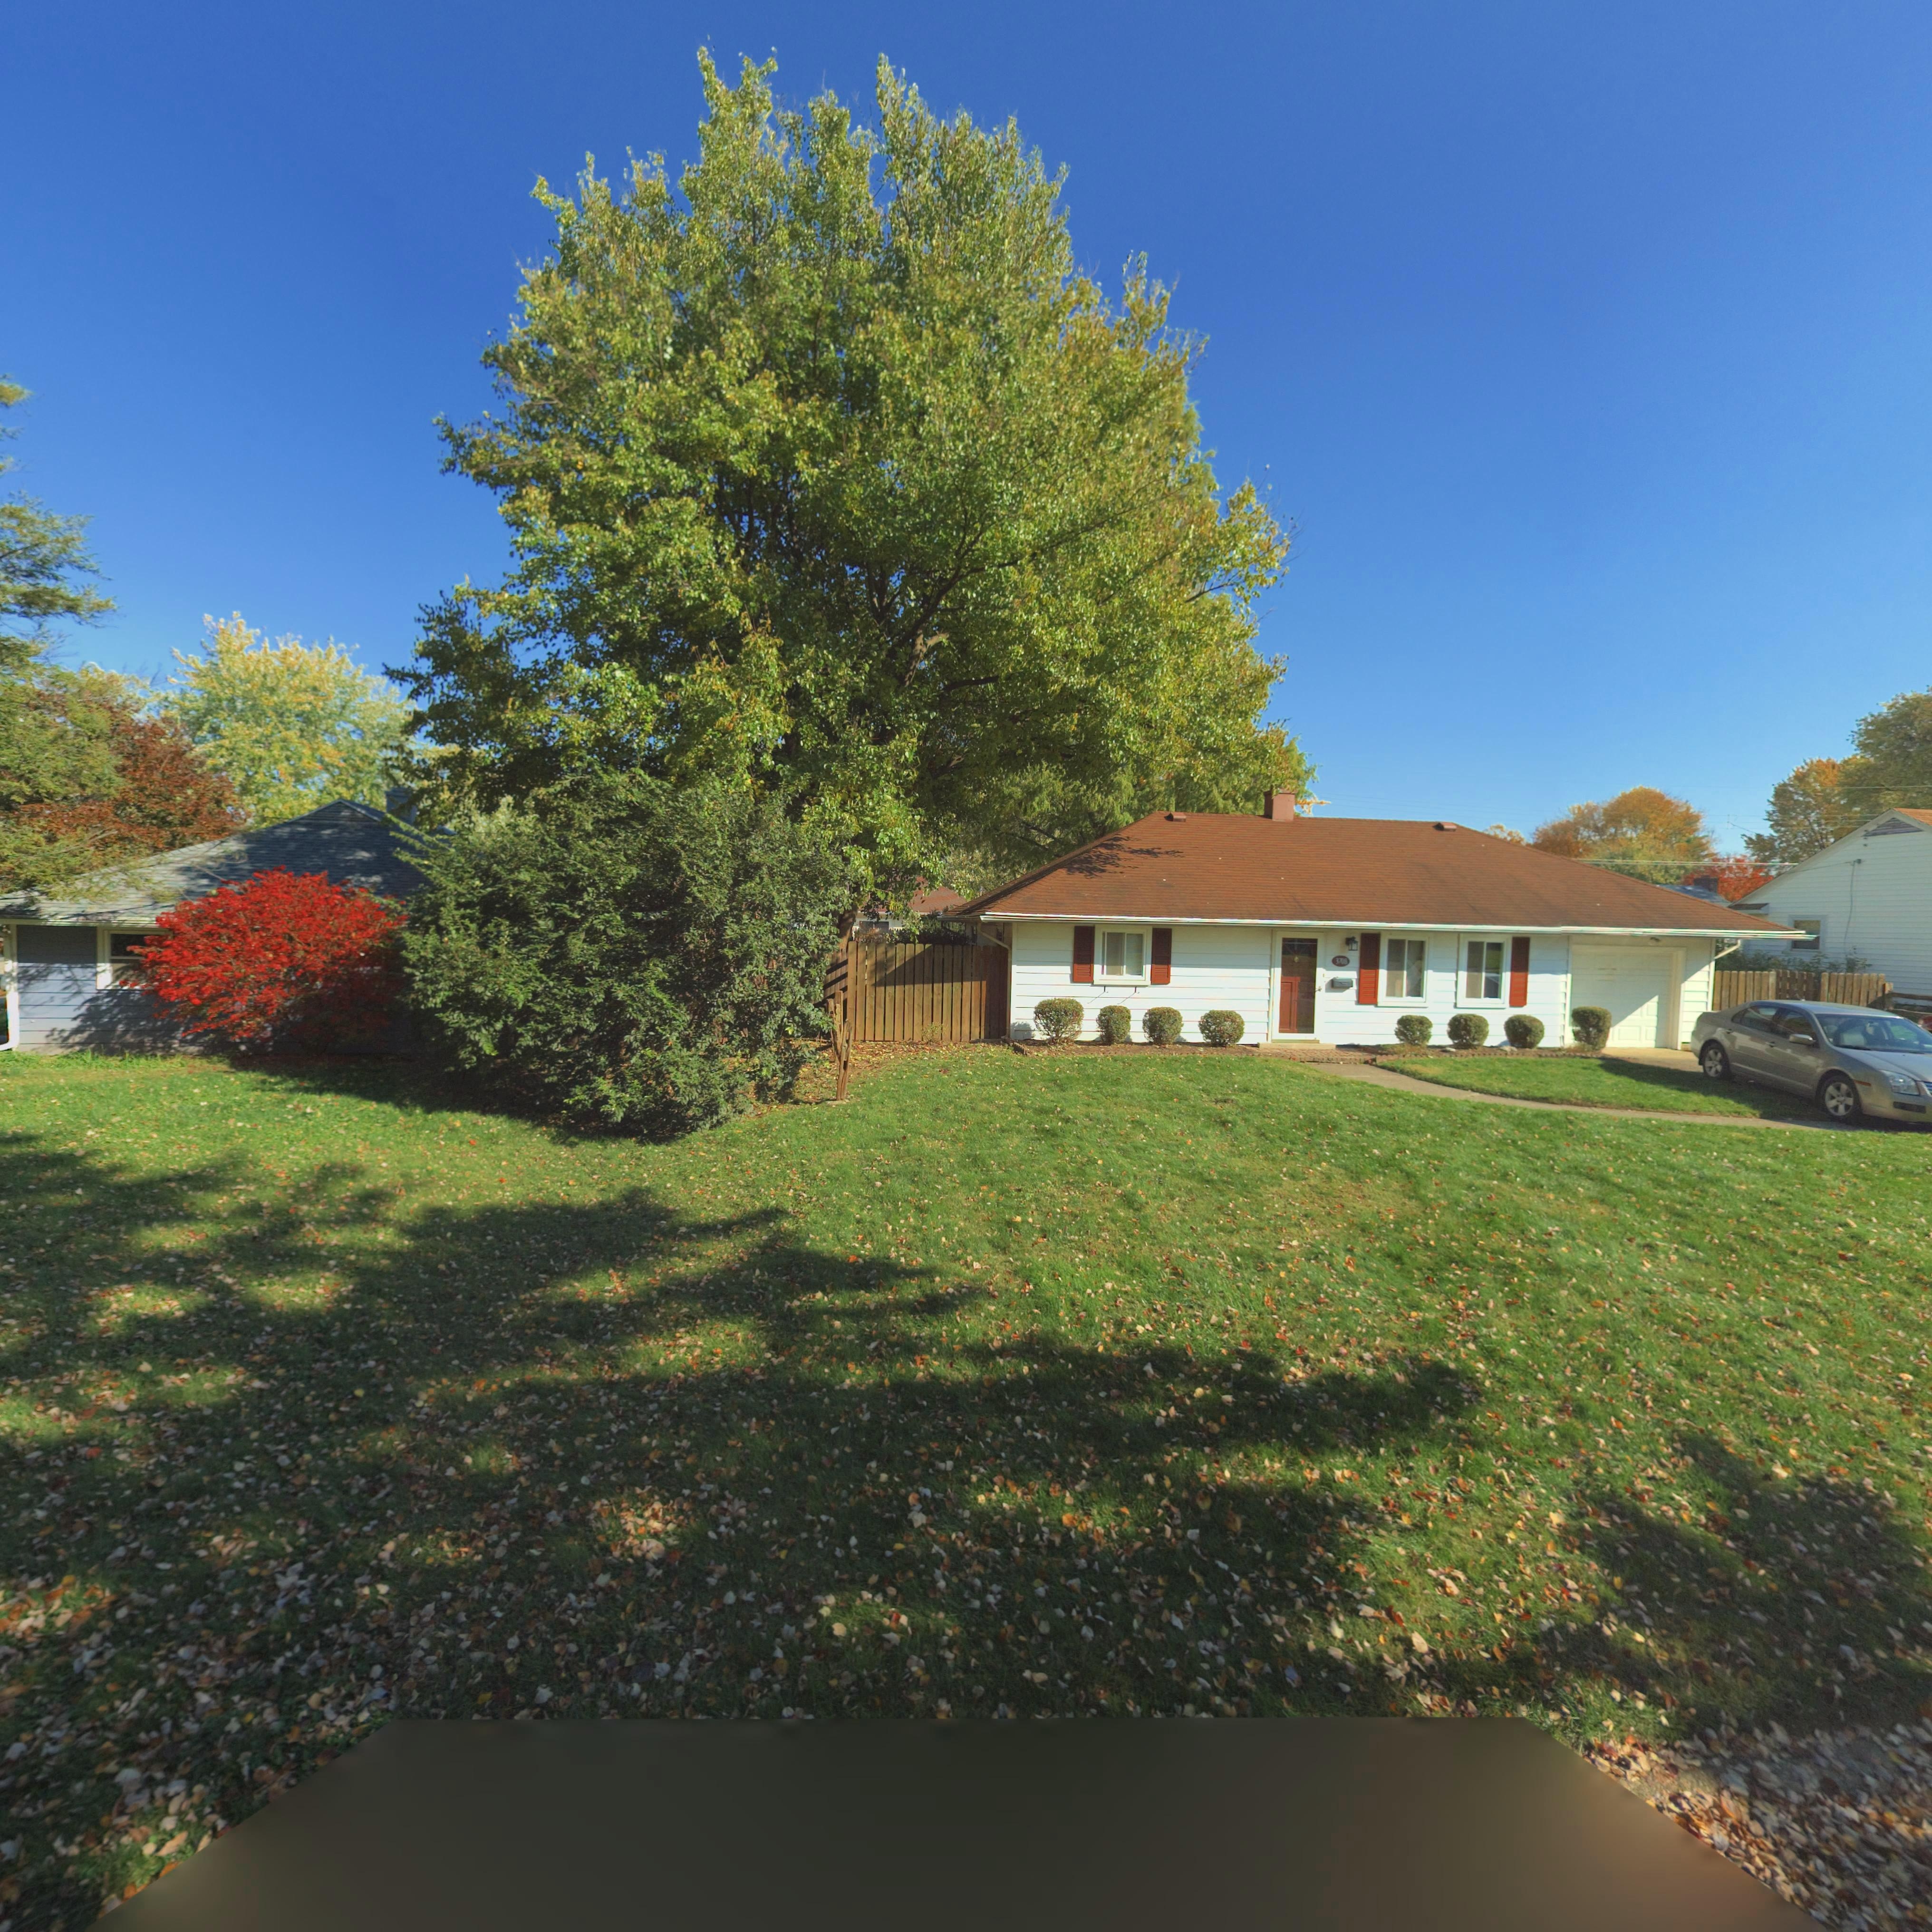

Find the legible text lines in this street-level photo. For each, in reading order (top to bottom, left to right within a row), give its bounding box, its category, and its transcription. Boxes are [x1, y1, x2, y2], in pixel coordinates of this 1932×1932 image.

[1335, 957, 1348, 964] StreetNumber: 3708